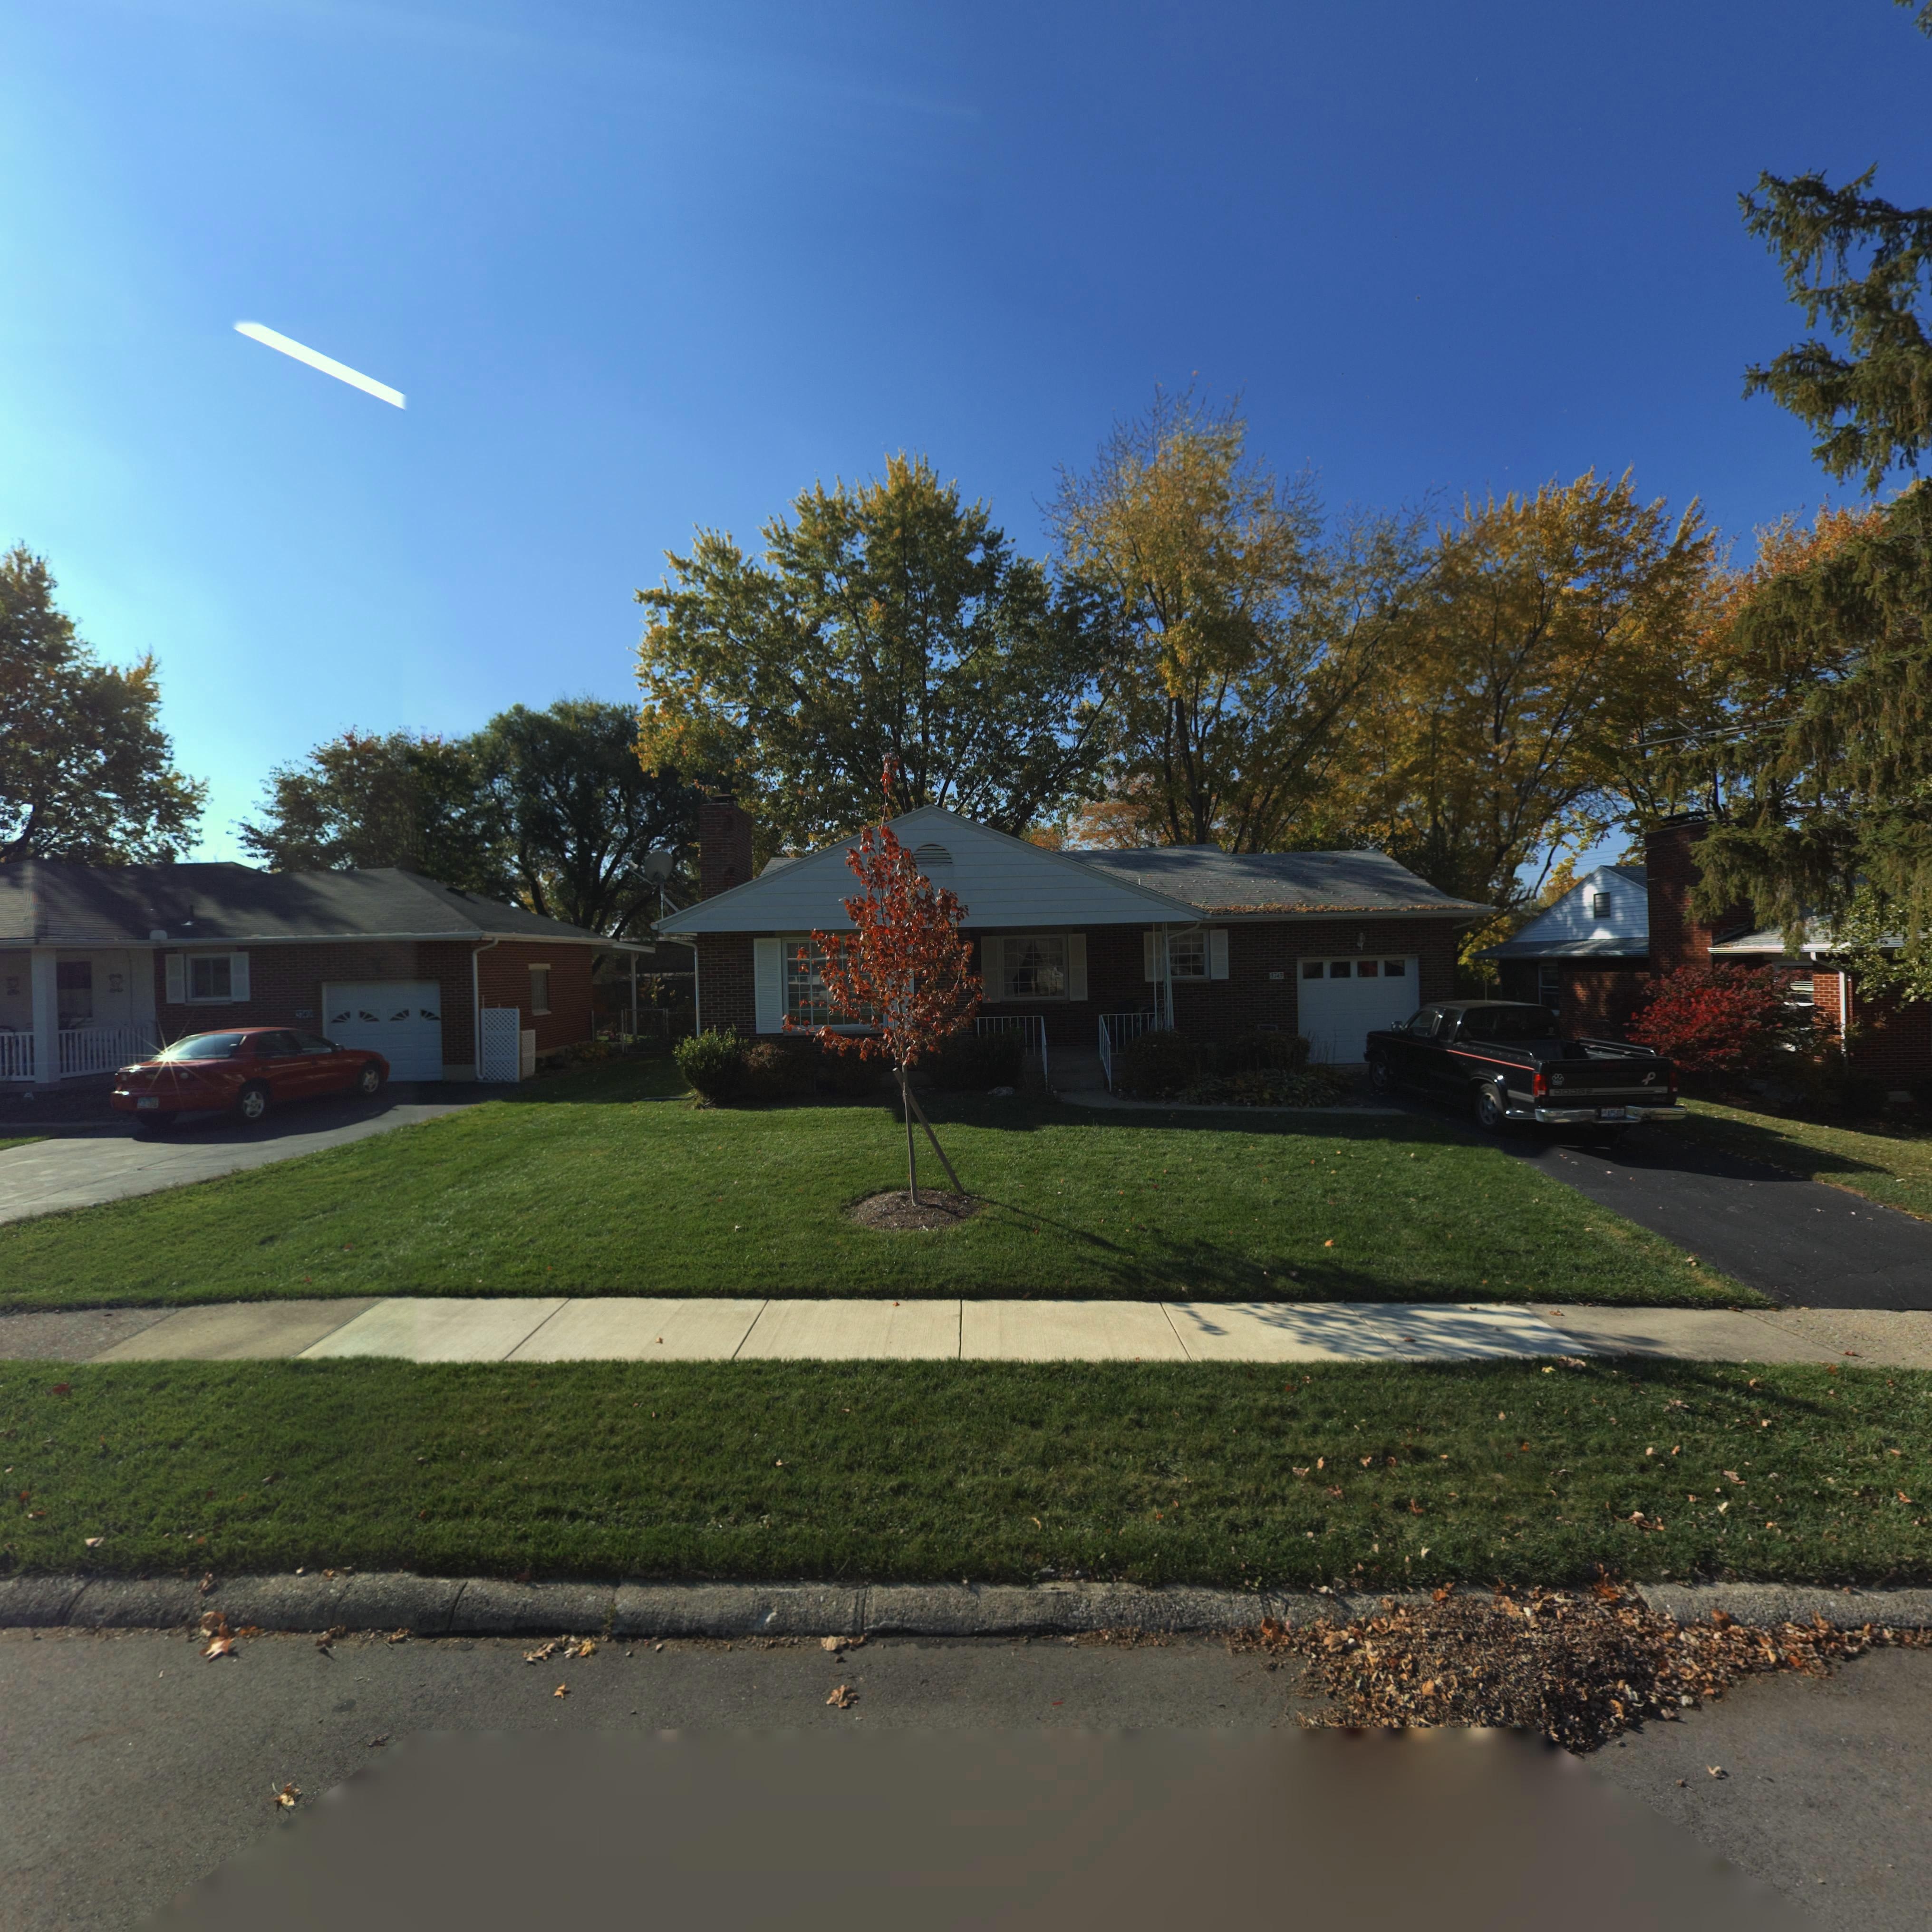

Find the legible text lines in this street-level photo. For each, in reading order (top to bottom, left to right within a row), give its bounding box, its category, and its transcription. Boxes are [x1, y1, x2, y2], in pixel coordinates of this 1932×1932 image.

[1269, 972, 1284, 979] StreetNumber: 3743
[1553, 1087, 1594, 1096] None: DODGE